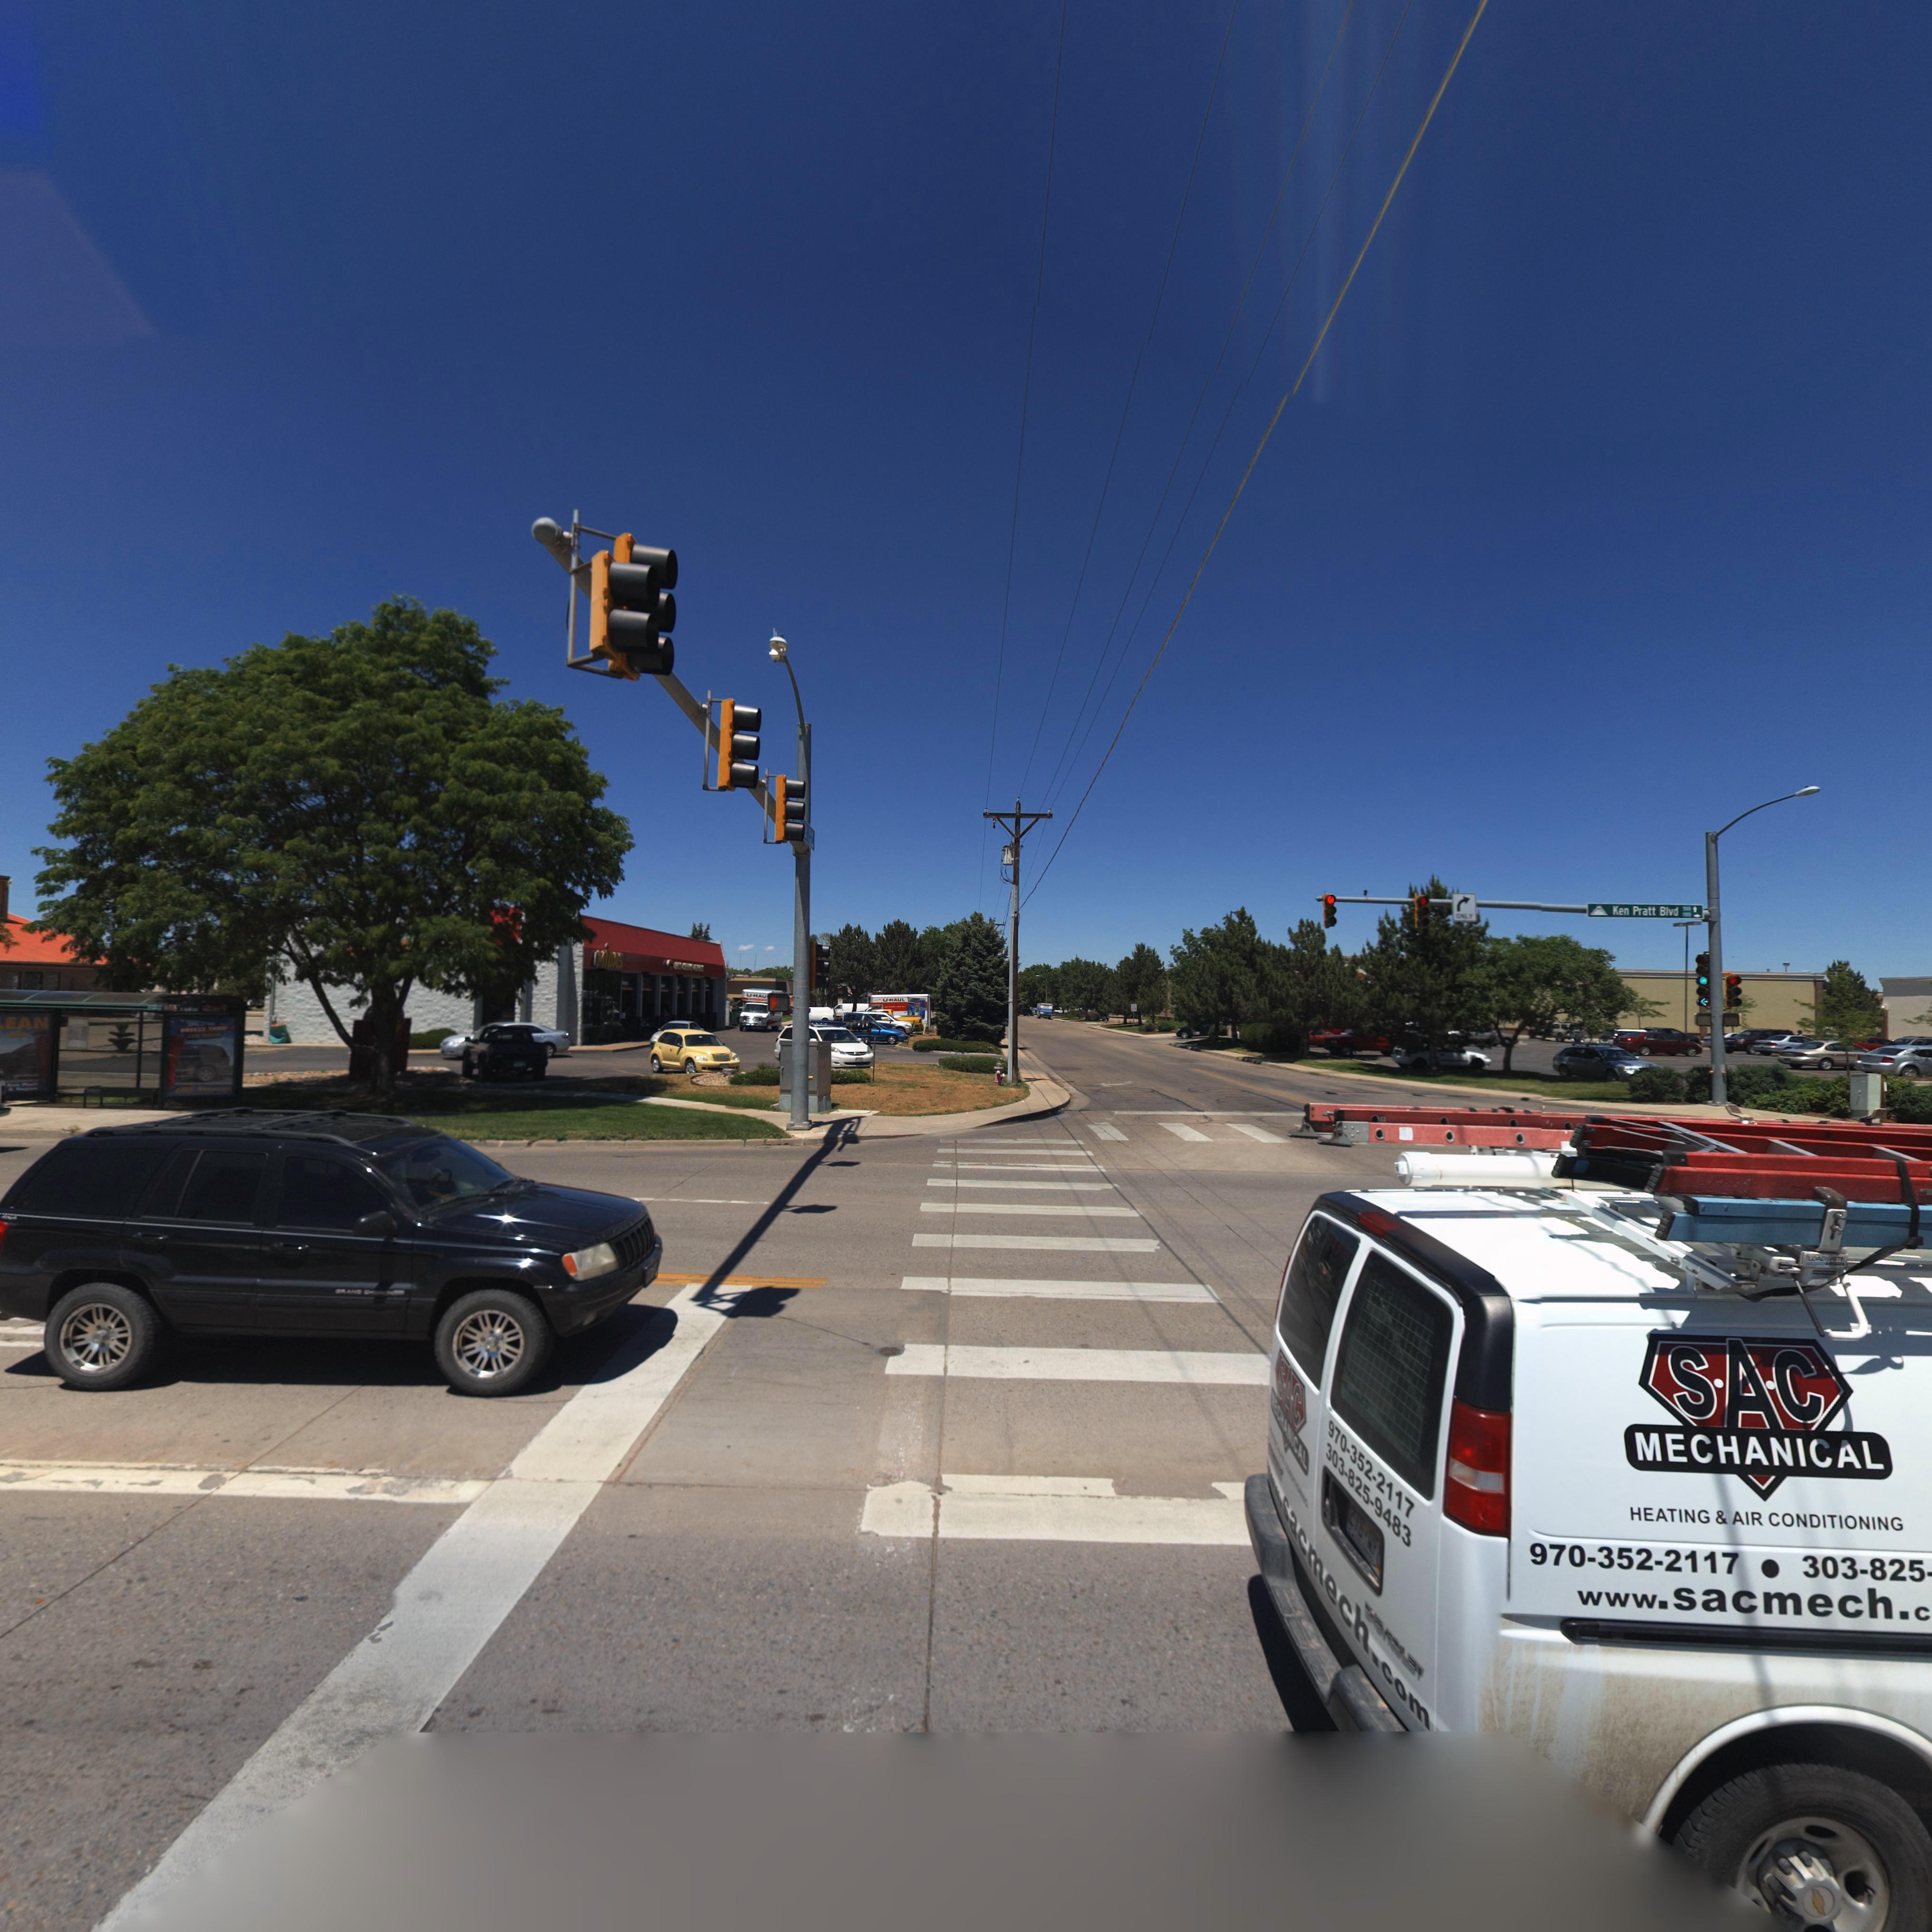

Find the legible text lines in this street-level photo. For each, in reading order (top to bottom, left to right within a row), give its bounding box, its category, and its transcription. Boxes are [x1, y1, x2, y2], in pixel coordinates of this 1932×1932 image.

[1612, 905, 1679, 916] BusinessName: Ken Pratt Blvd
[1682, 906, 1691, 911] StreetNumberRange: 500
[1682, 912, 1701, 918] StreetNumberRange: **00->
[594, 942, 624, 969] BusinessName: MiDAS